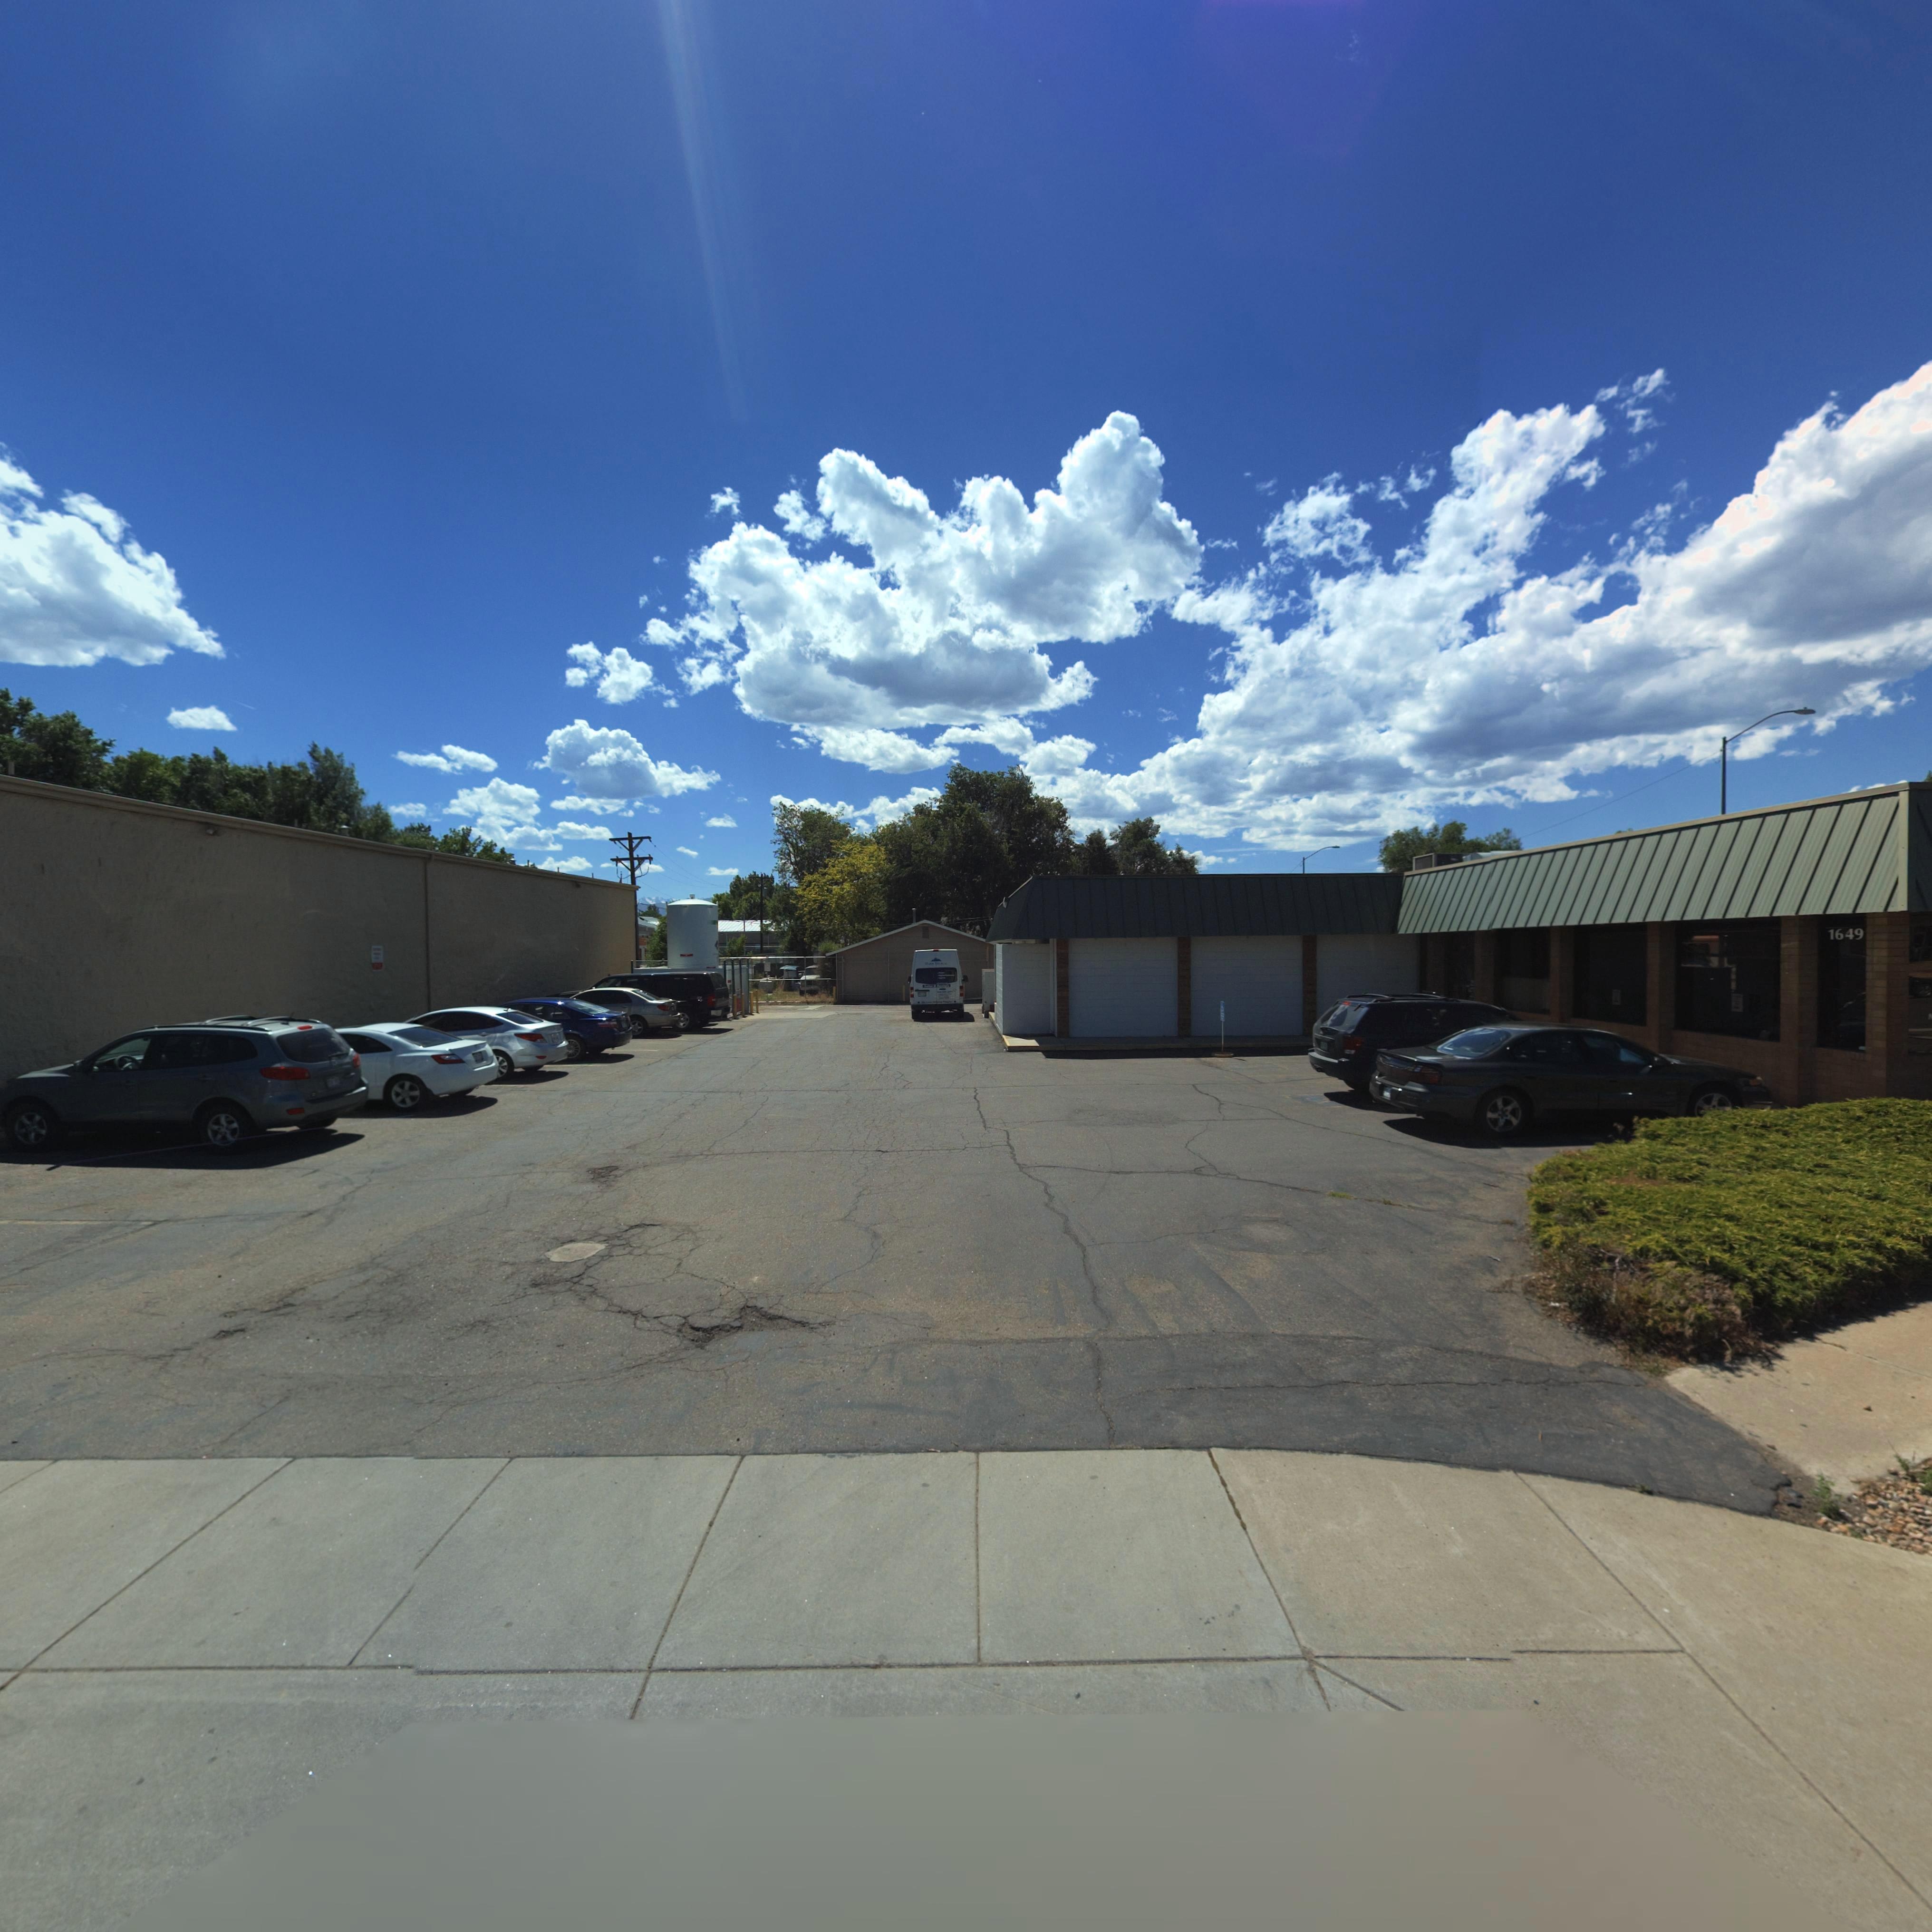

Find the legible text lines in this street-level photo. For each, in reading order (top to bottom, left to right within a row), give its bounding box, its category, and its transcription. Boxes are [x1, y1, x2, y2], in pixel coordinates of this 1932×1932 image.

[1827, 927, 1864, 940] StreetNumber: 1649